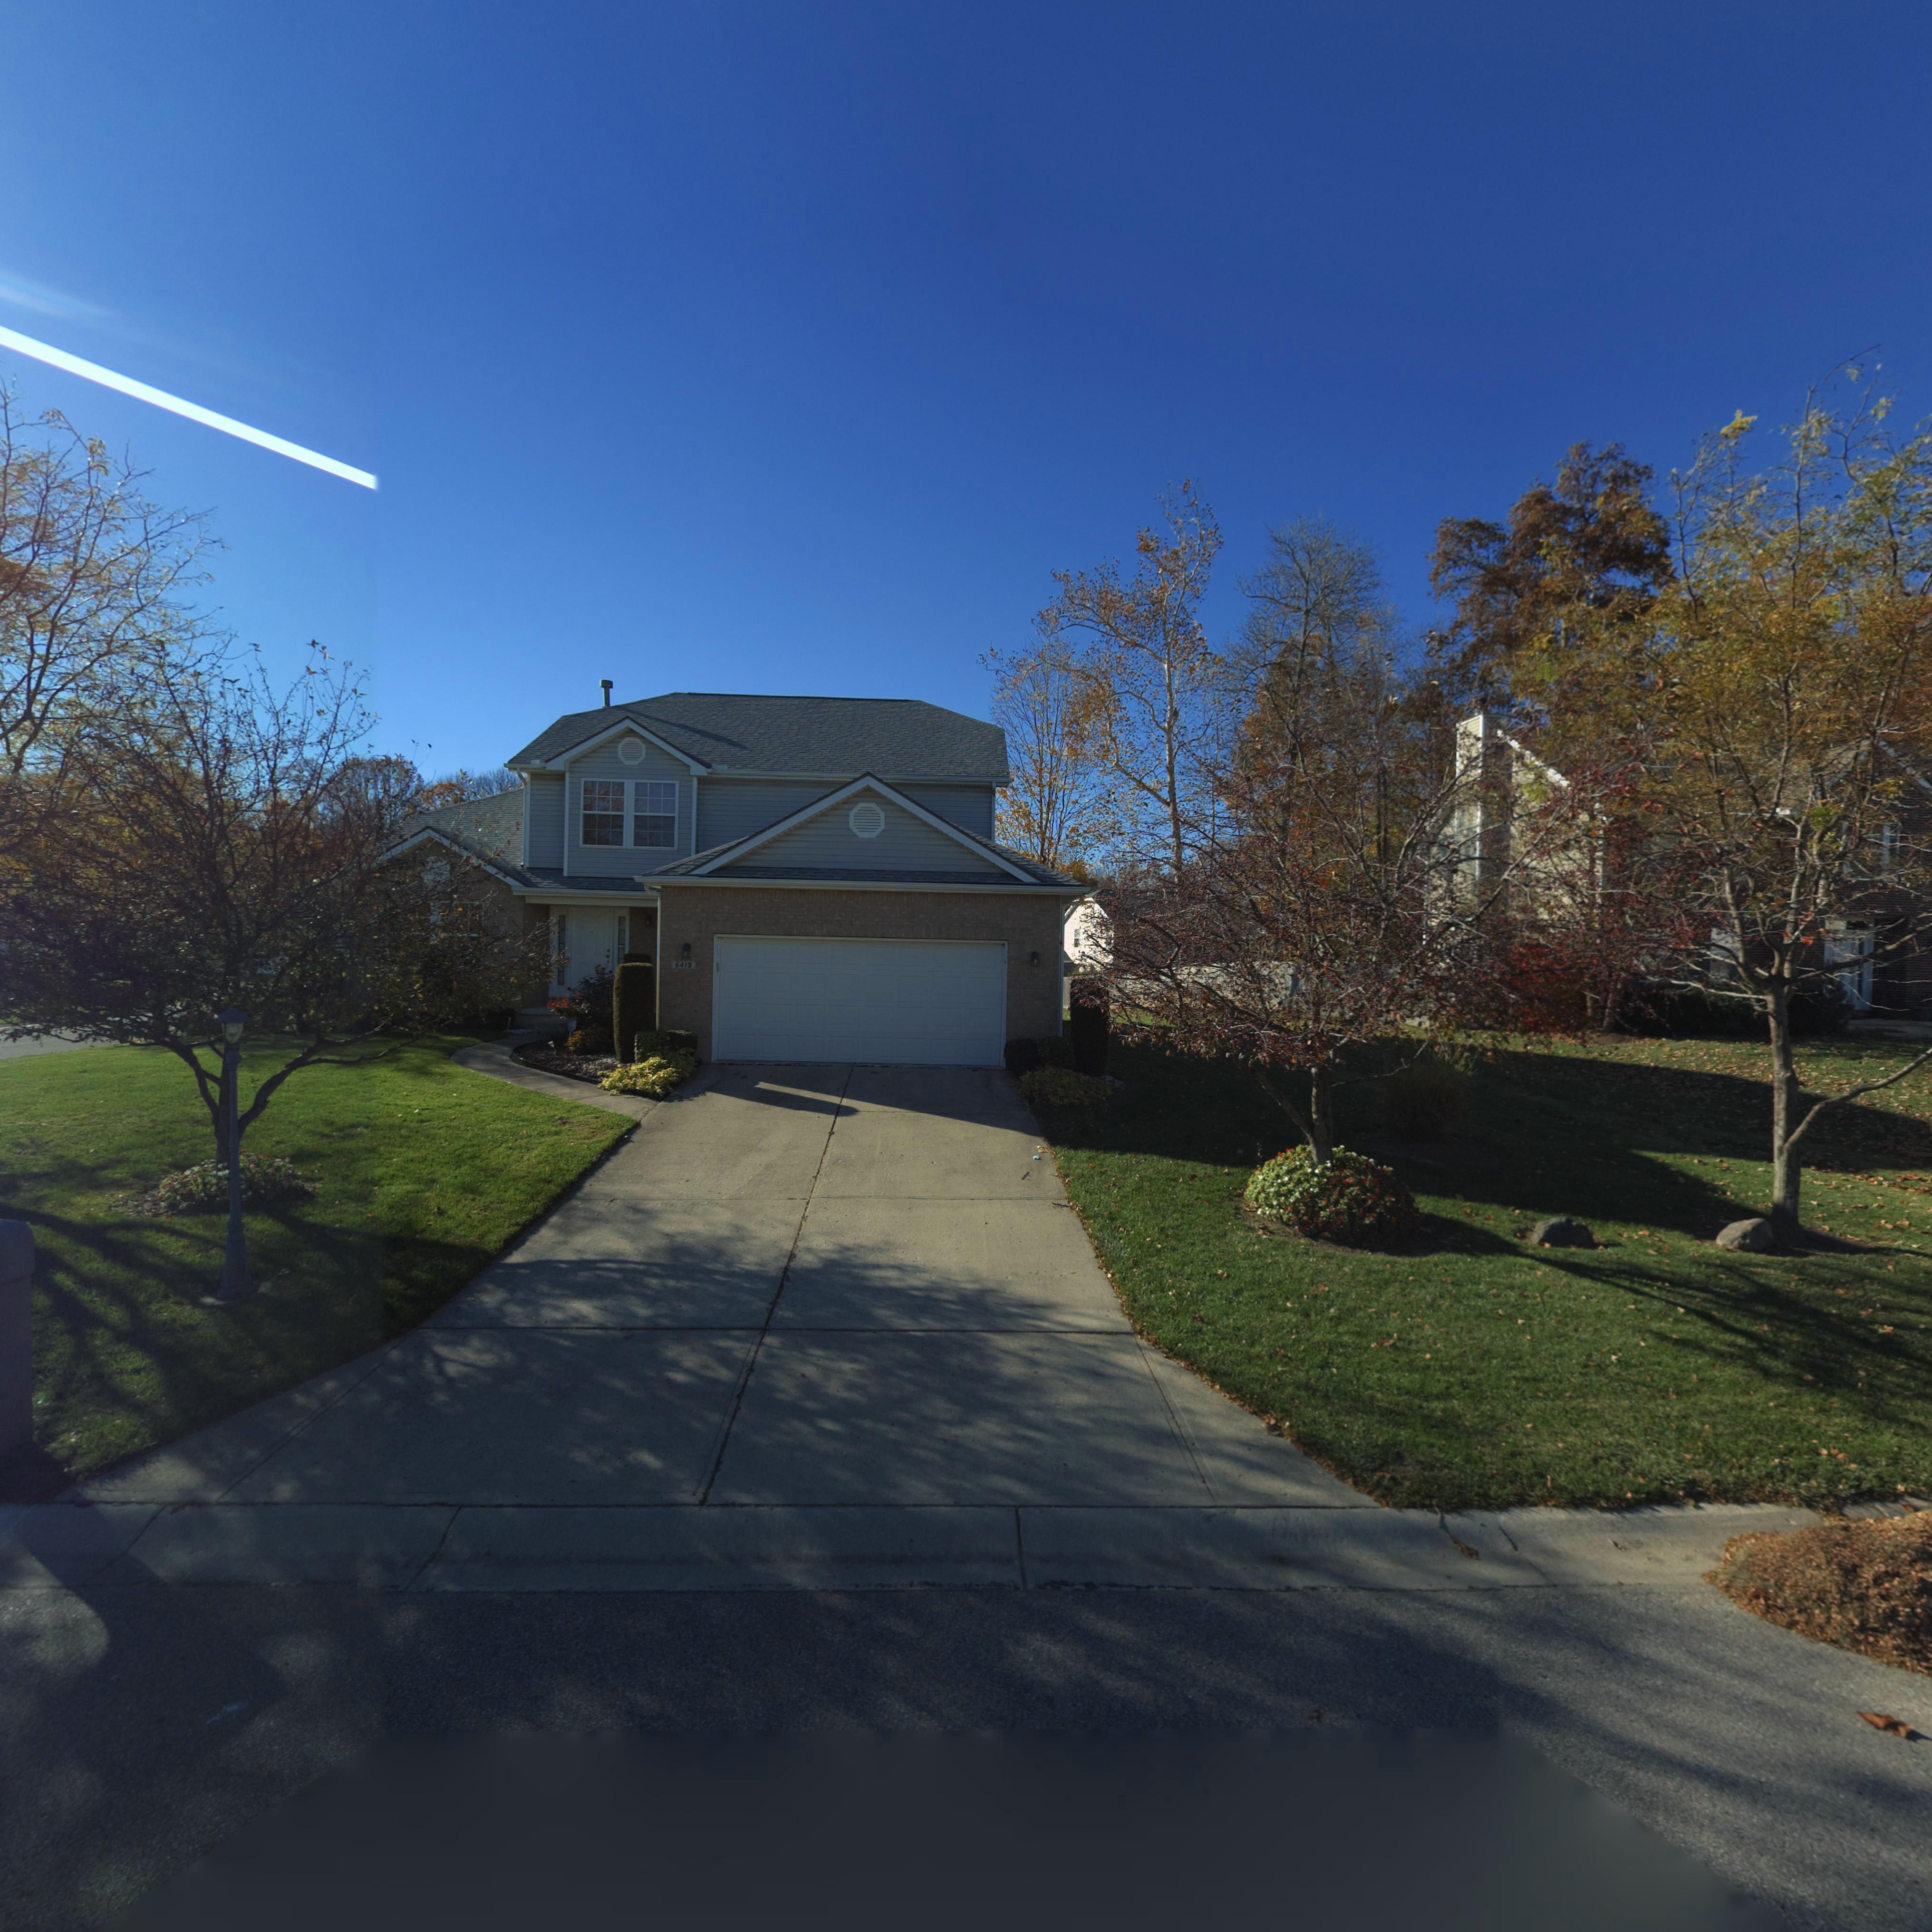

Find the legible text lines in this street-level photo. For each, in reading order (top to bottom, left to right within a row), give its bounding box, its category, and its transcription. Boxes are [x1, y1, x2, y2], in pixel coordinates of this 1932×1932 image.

[674, 961, 693, 969] StreetNumber: 6419